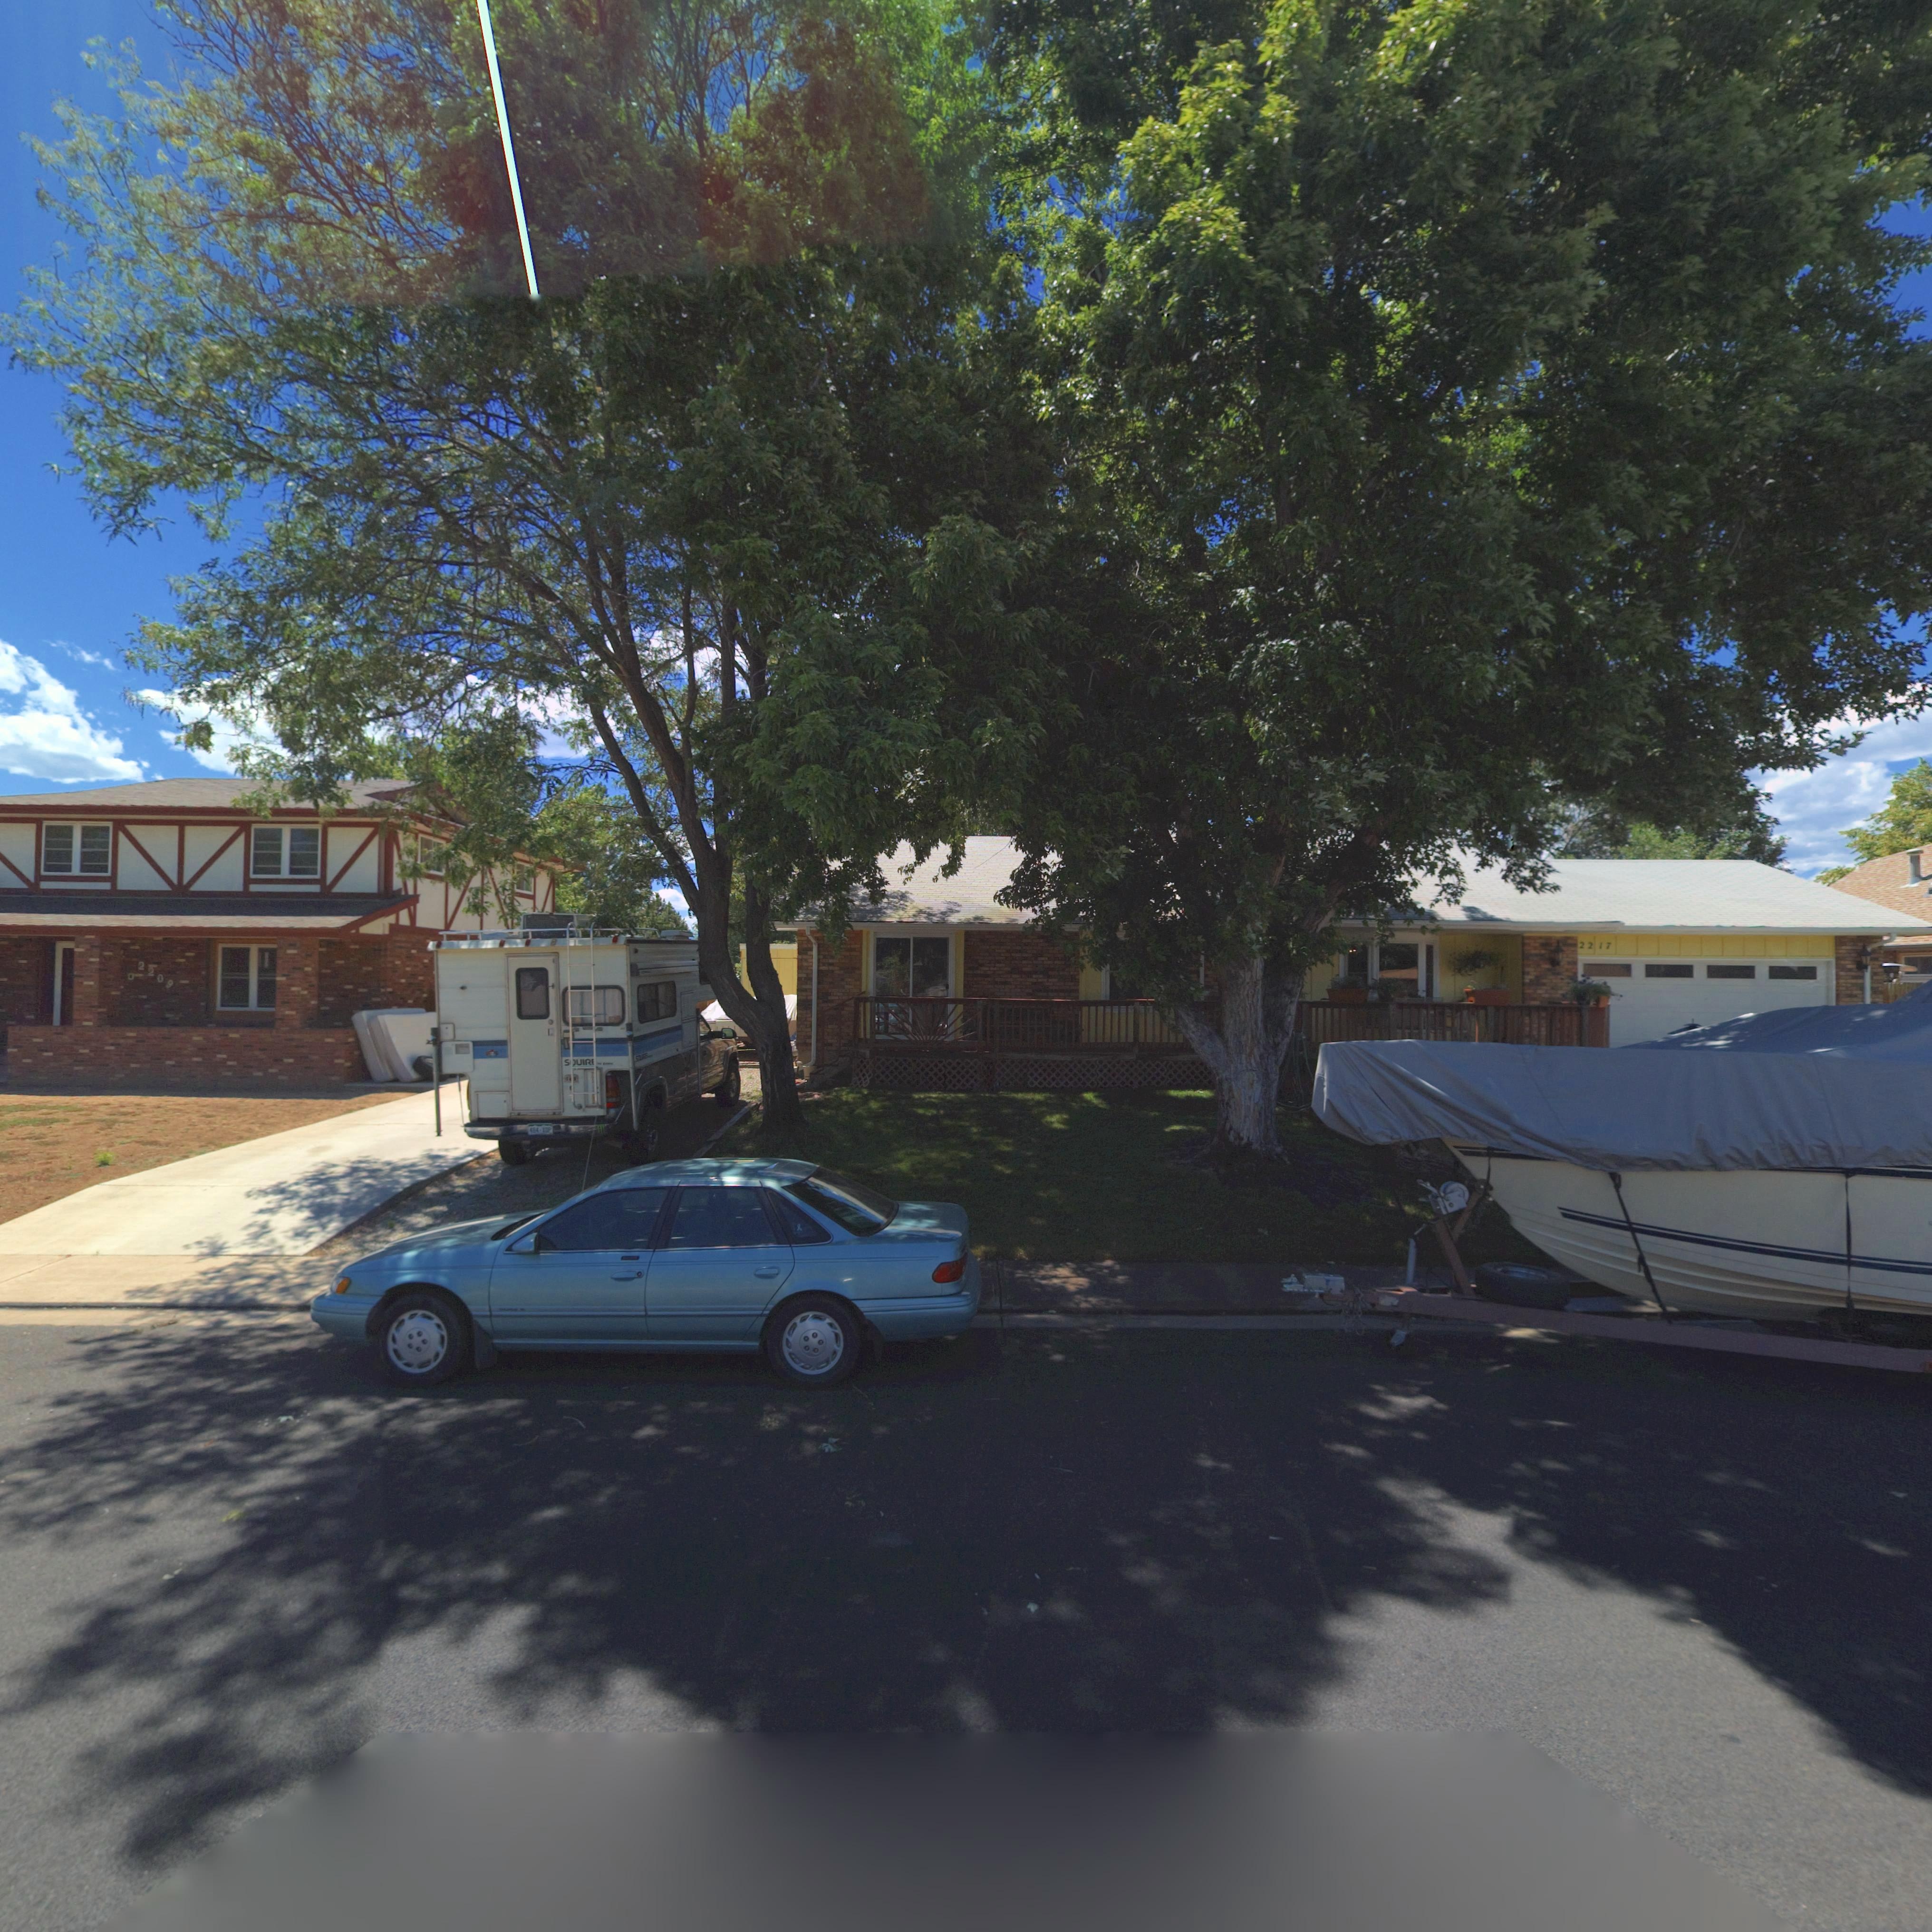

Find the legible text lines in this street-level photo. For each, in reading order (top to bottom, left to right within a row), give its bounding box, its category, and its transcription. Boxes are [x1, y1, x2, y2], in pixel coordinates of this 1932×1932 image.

[1578, 941, 1612, 950] StreetNumber: 2217
[135, 959, 176, 992] StreetNumber: 2209